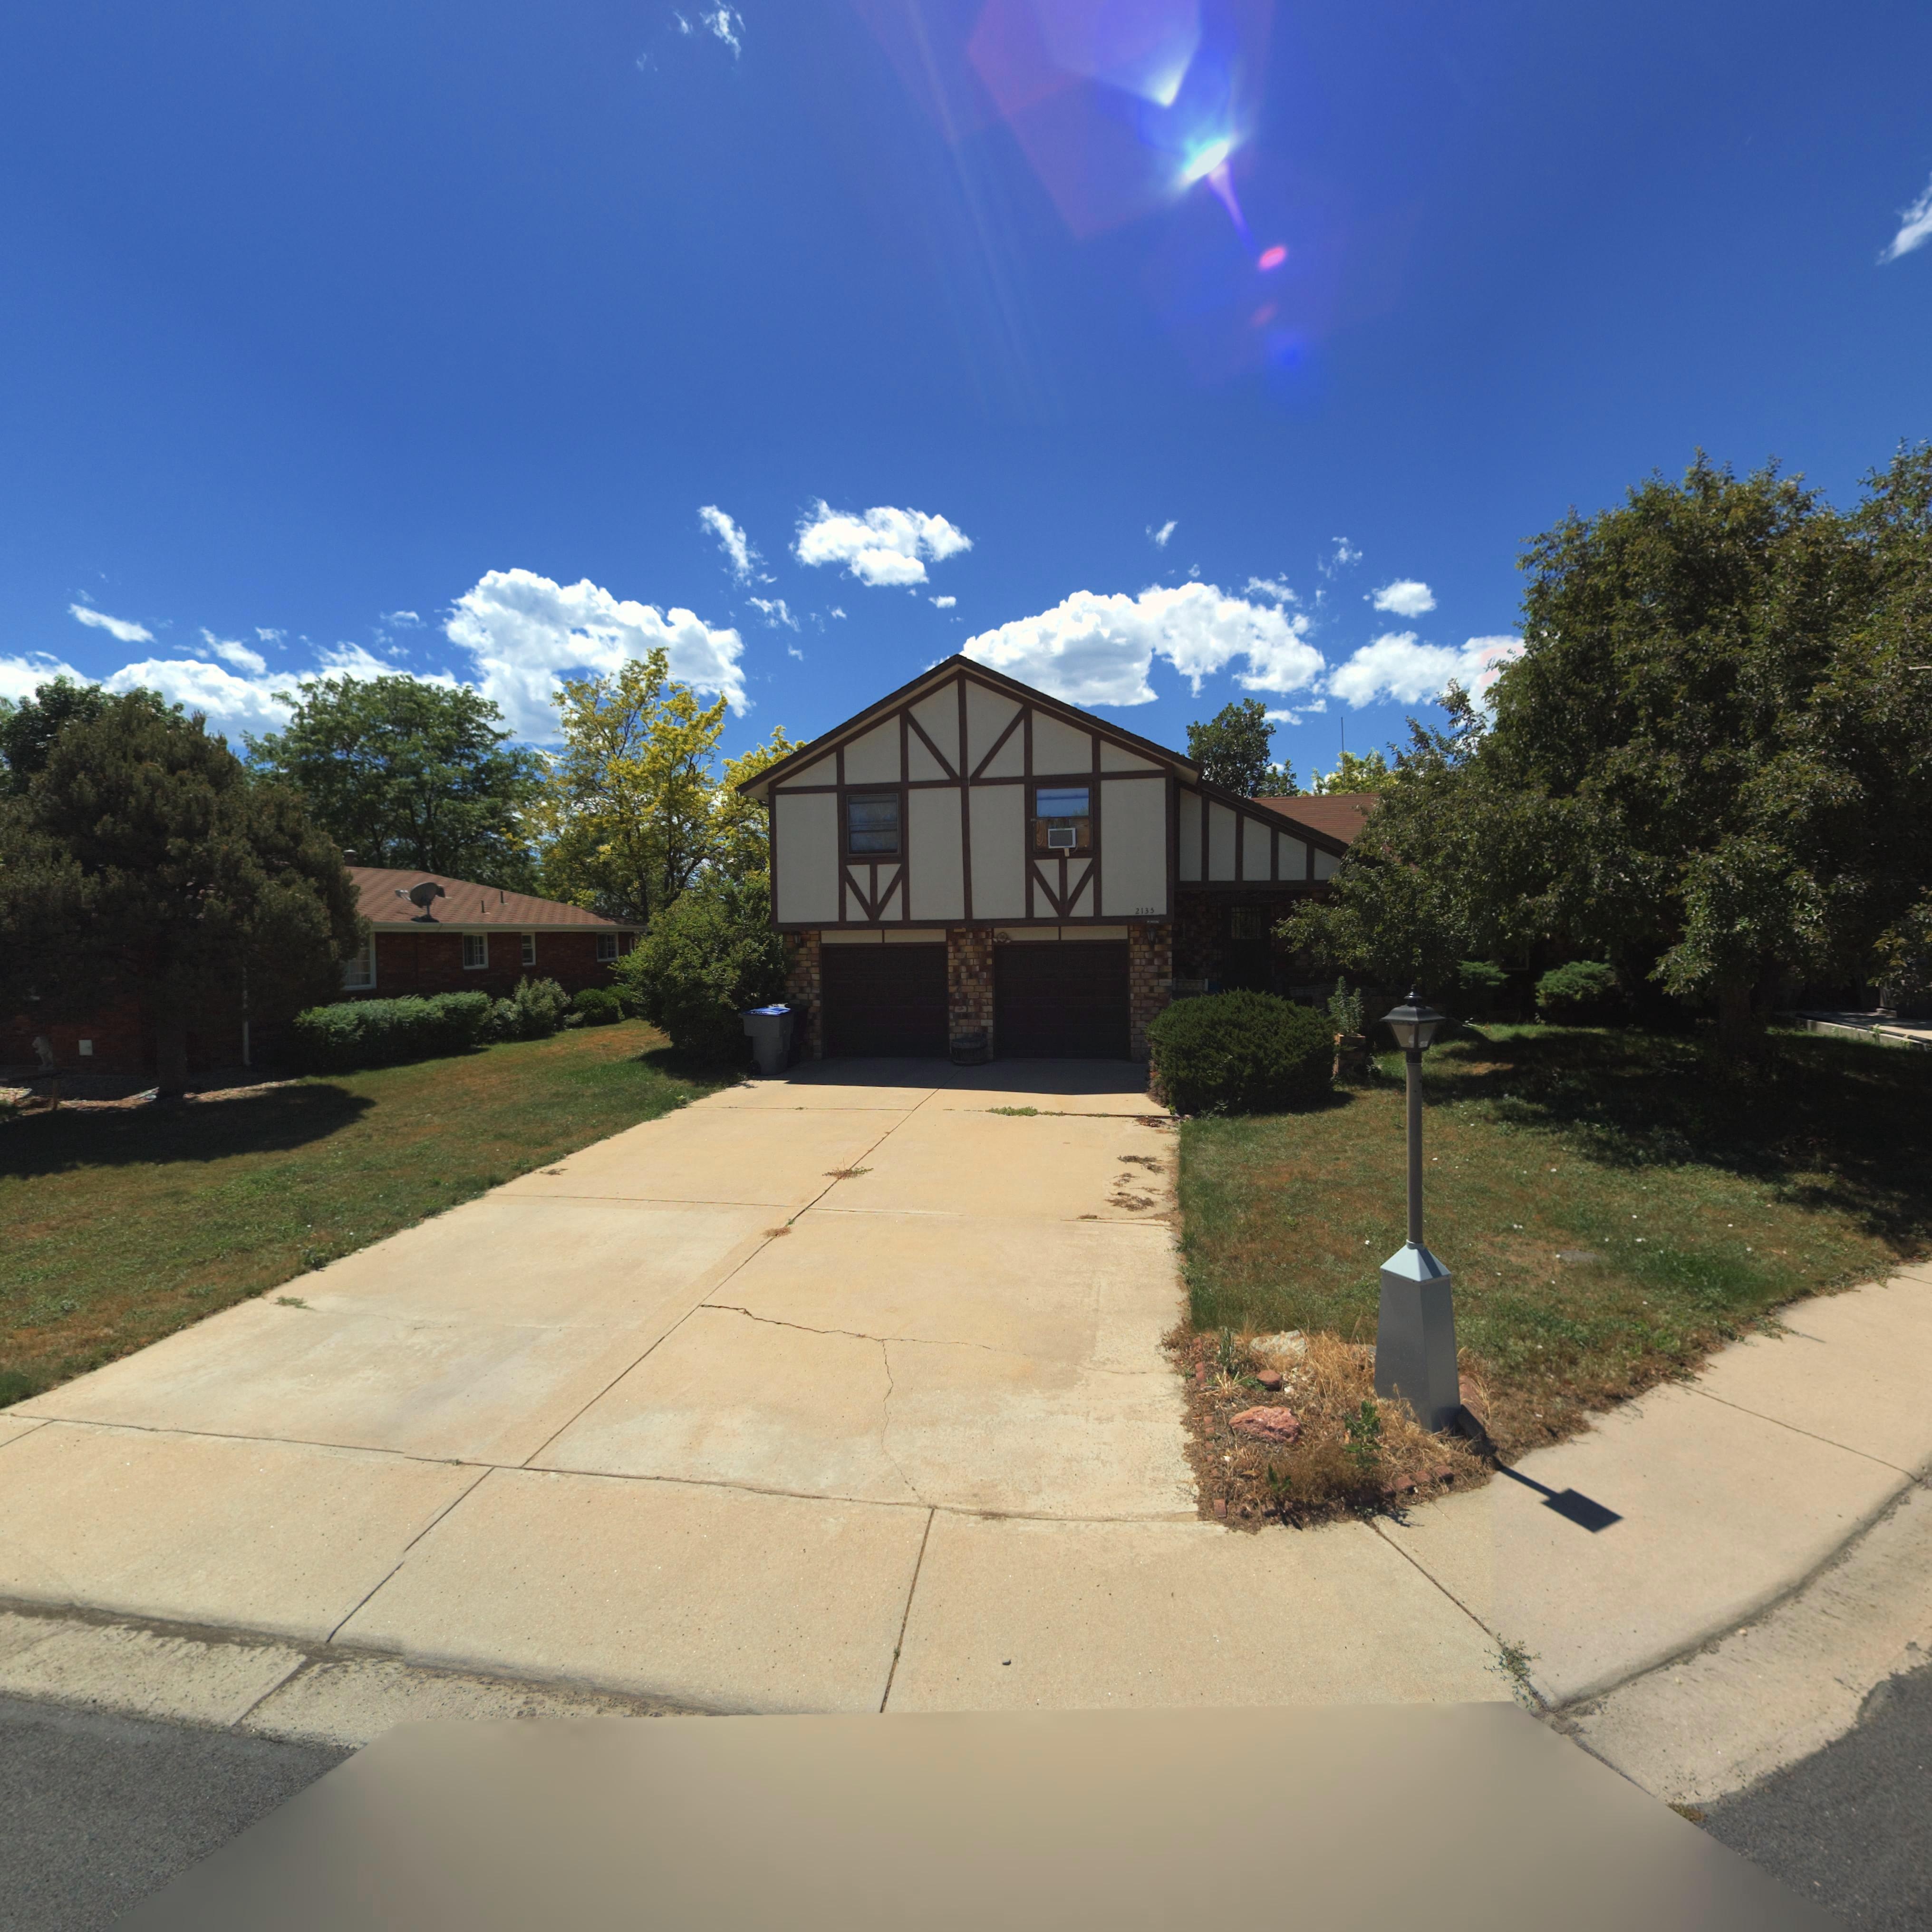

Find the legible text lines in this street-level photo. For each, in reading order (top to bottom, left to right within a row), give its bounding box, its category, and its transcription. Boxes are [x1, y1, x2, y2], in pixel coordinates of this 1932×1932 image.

[1135, 908, 1154, 914] StreetNumber: 2135